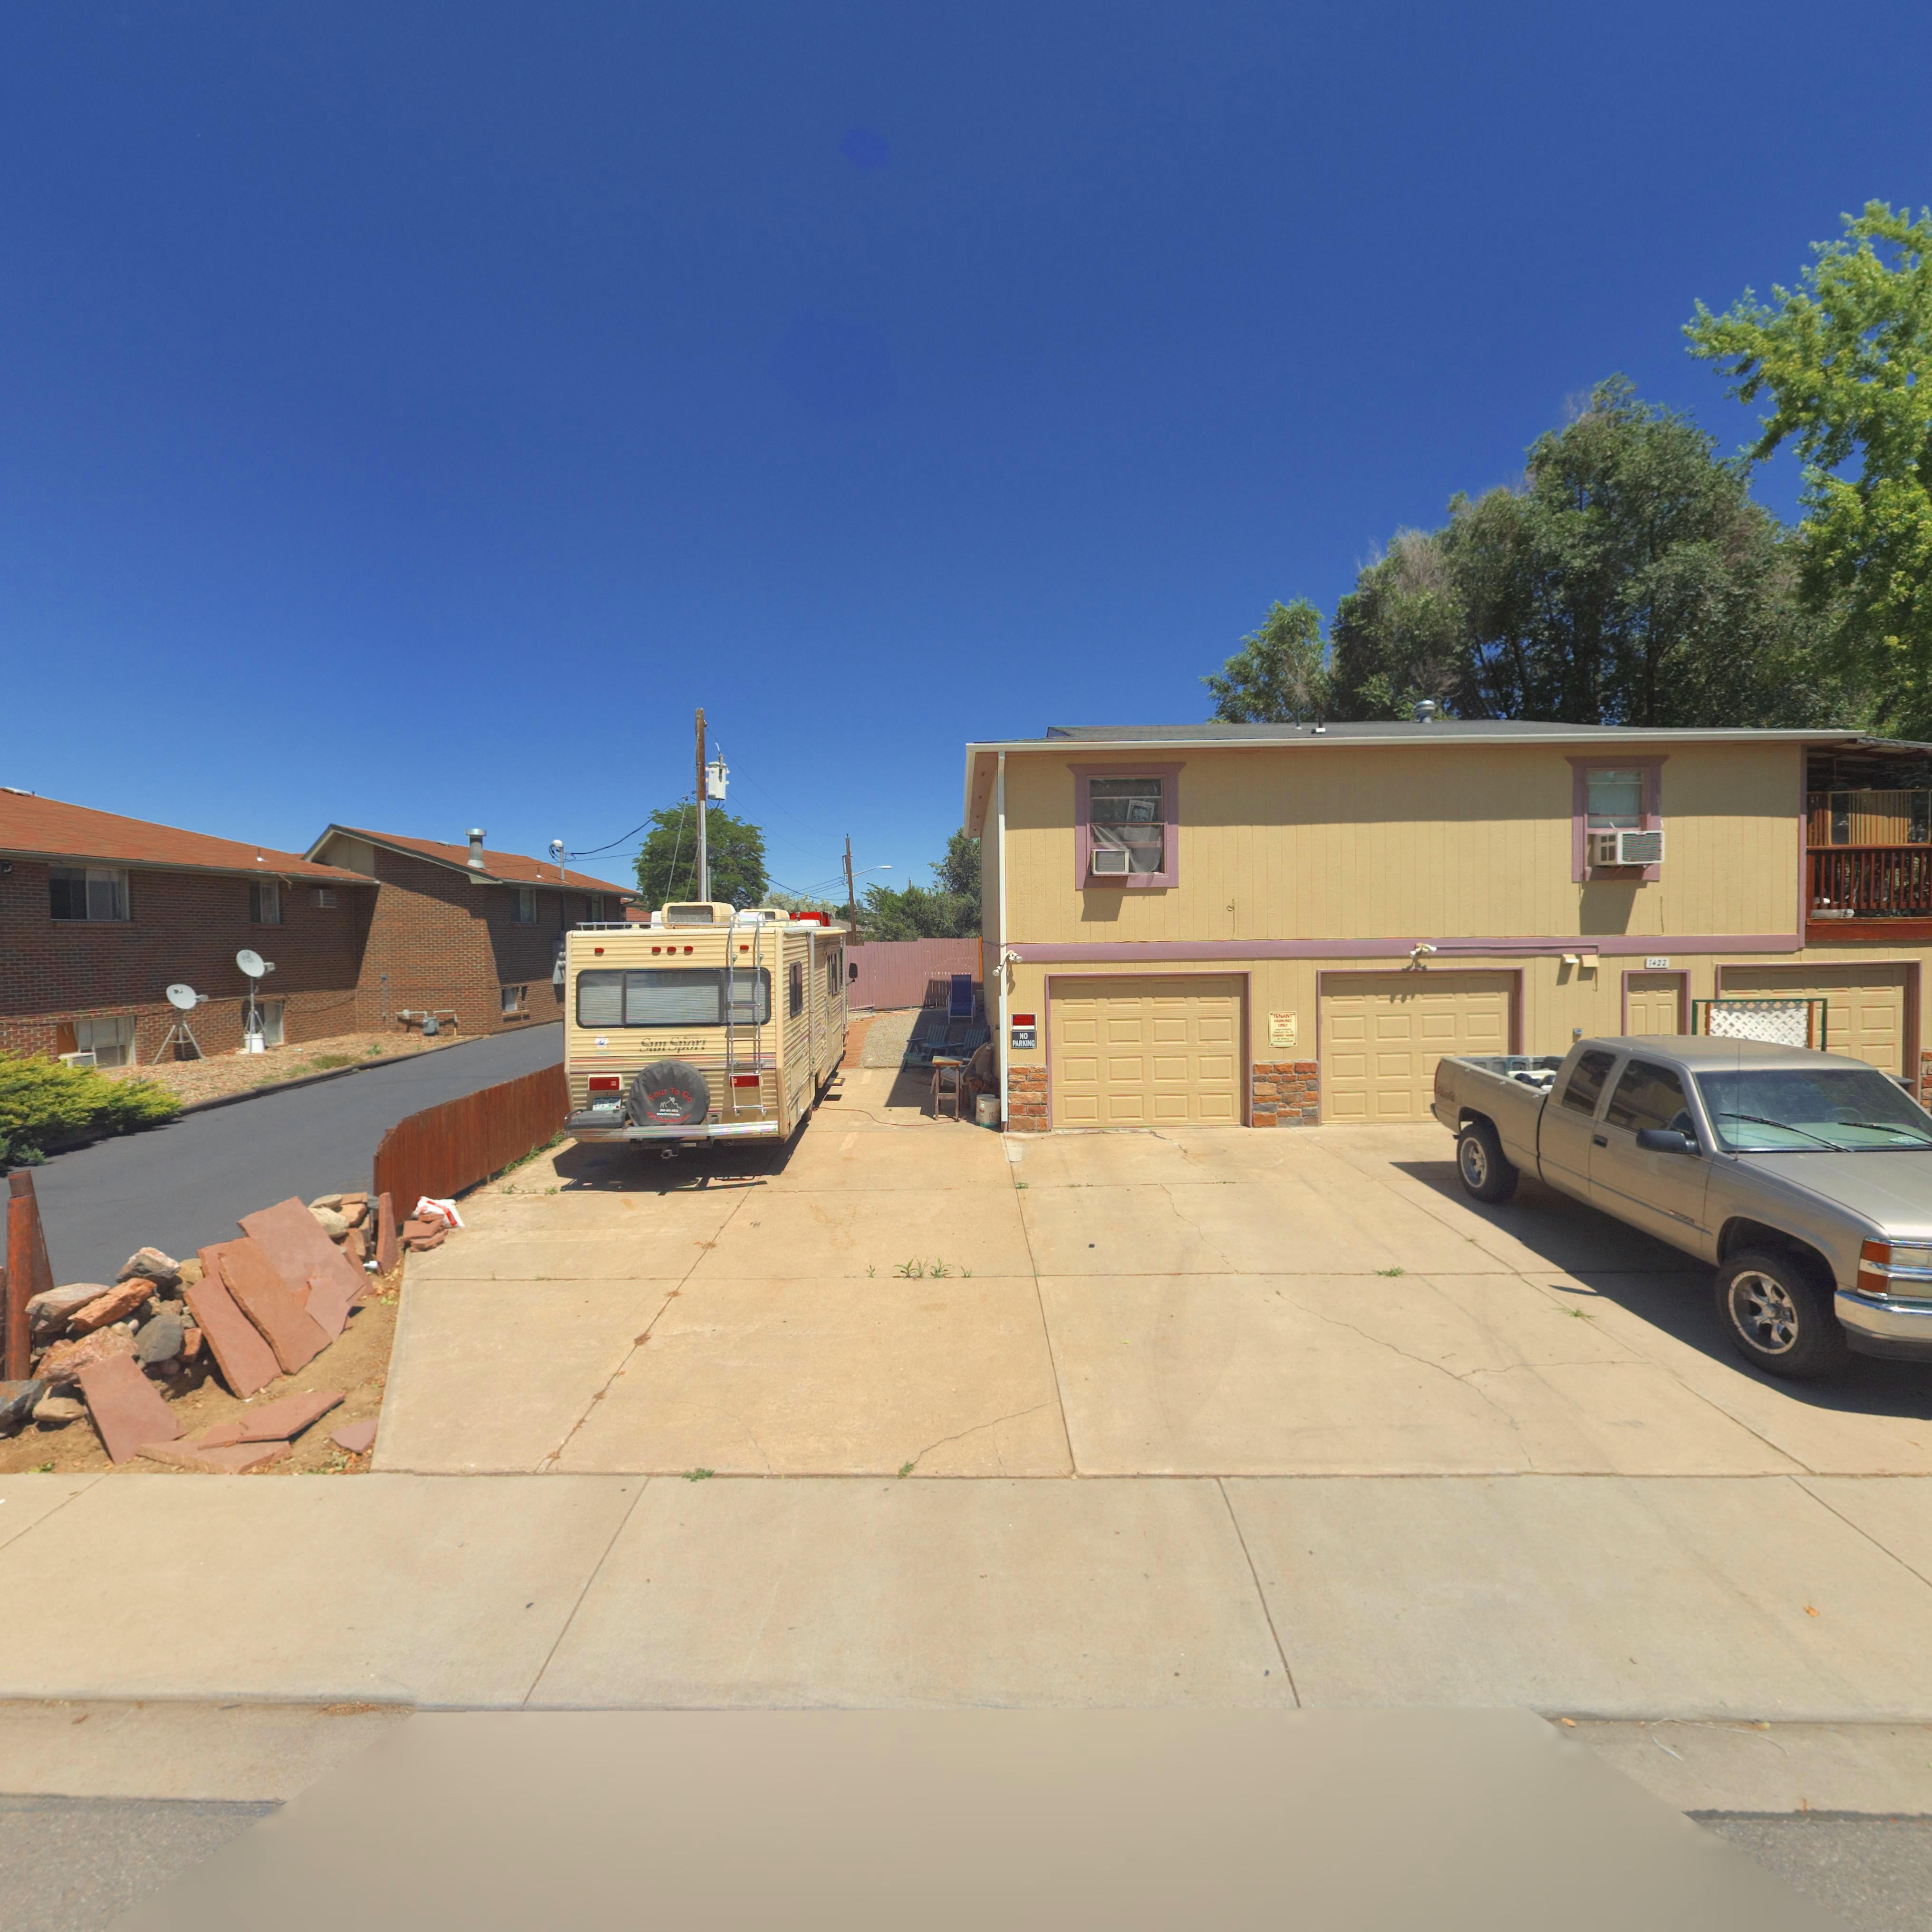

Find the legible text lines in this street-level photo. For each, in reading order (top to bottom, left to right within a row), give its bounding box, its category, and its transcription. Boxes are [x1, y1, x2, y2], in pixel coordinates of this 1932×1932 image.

[1648, 958, 1667, 966] StreetNumber: 1422